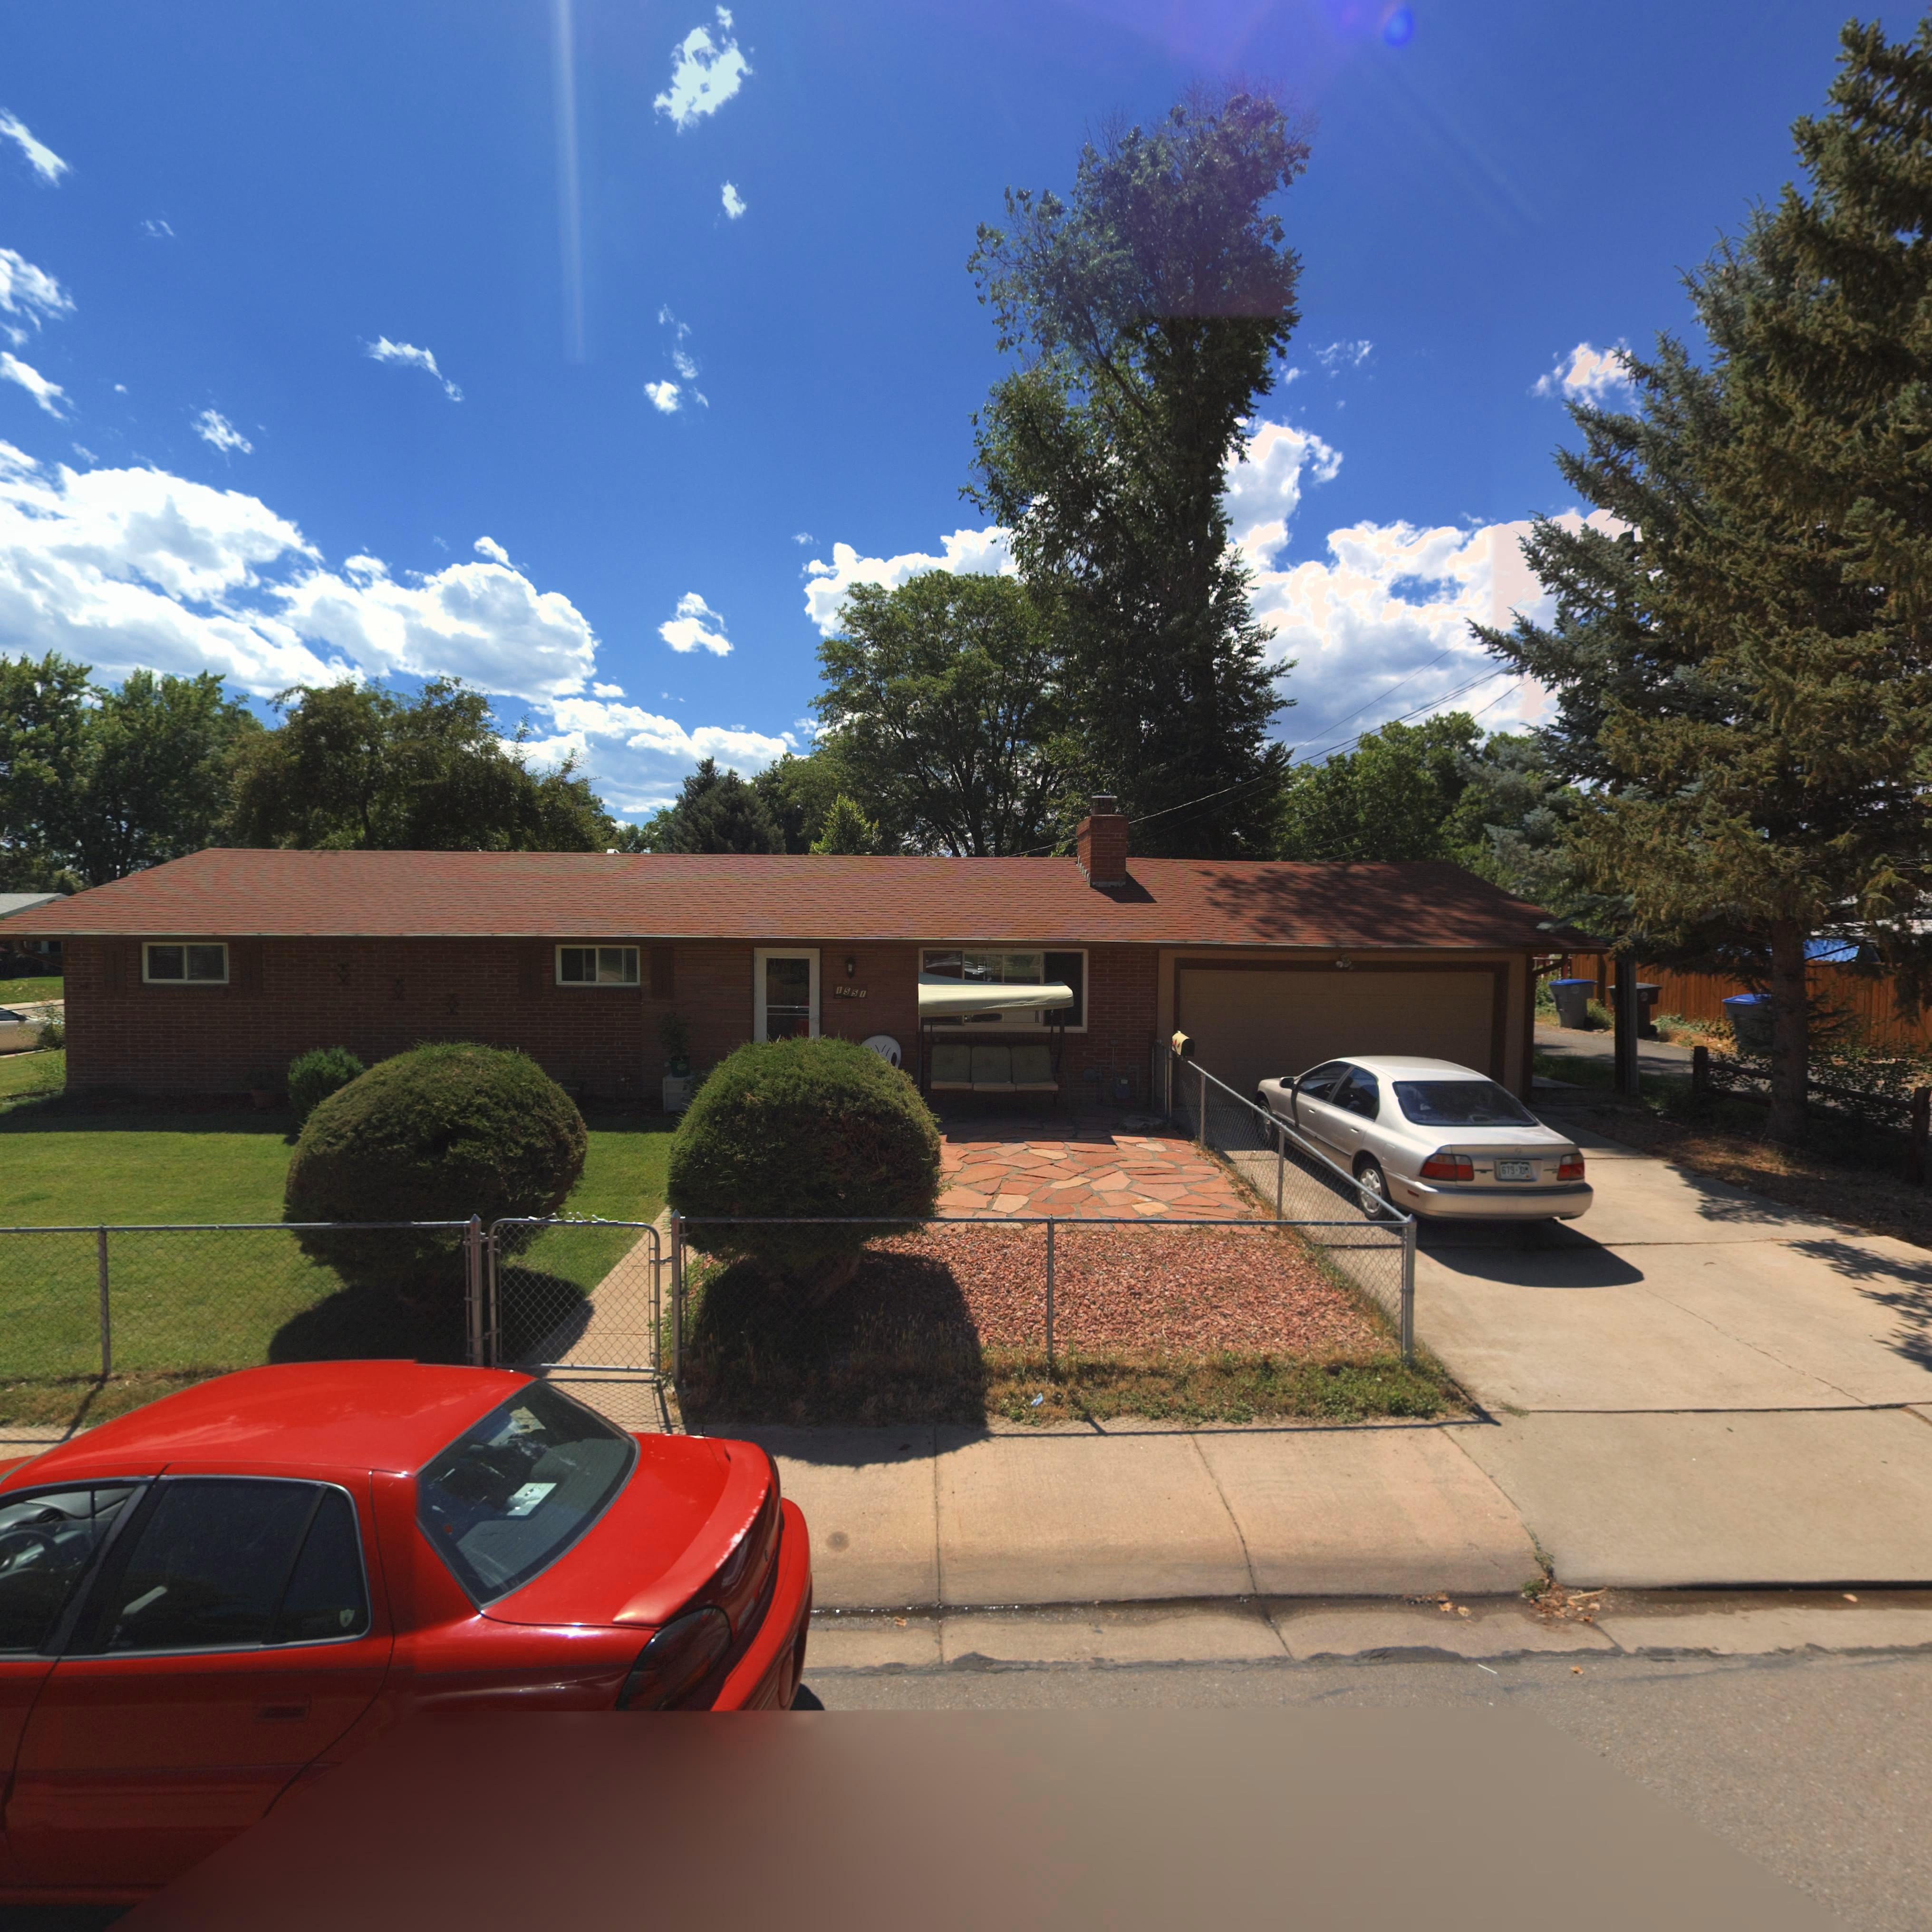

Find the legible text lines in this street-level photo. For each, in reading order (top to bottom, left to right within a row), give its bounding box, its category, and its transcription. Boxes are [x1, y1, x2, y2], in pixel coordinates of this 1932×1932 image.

[837, 987, 865, 997] StreetNumber: 1551